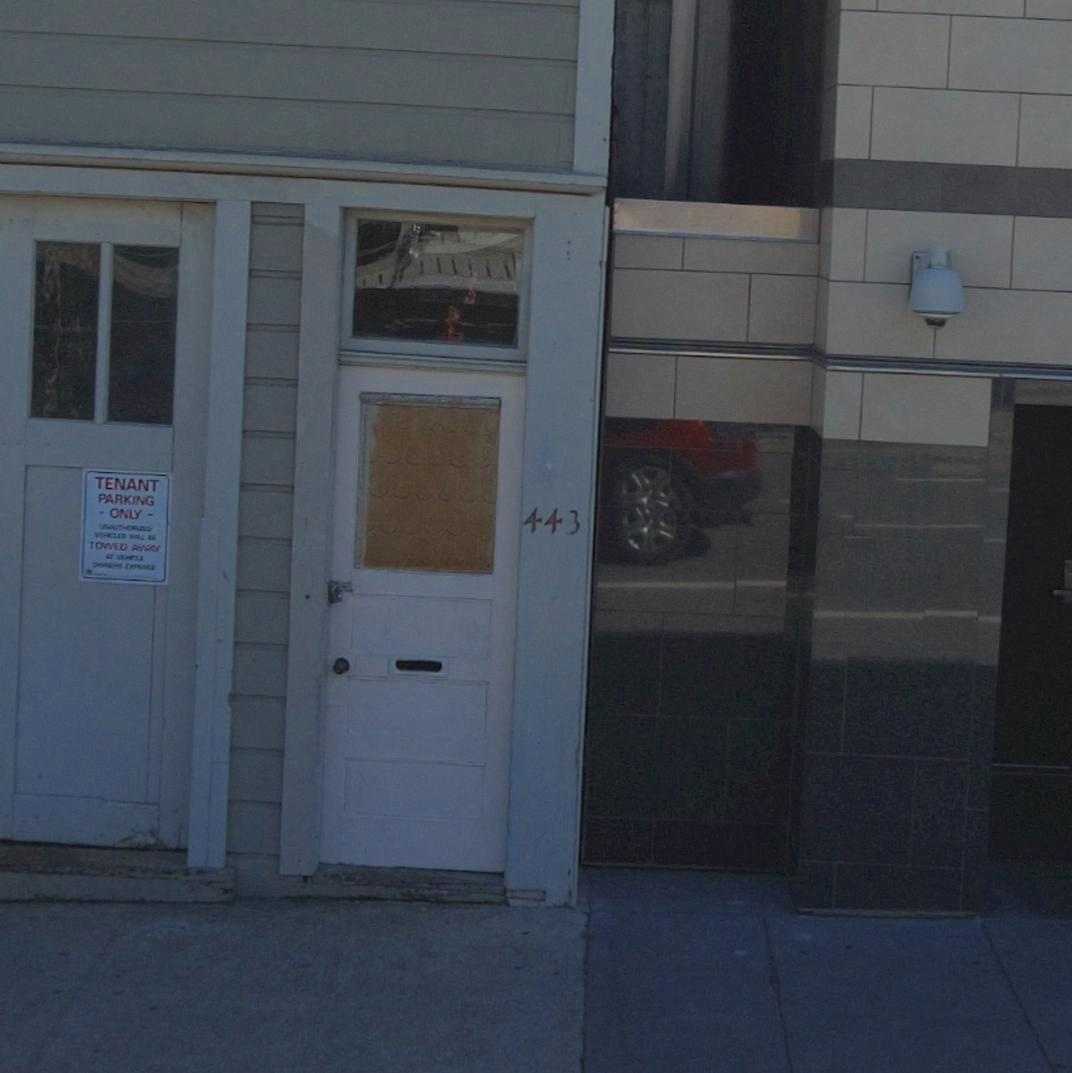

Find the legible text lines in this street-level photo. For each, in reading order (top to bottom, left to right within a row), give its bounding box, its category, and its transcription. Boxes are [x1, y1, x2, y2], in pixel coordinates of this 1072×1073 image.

[90, 470, 166, 497] None: TENANT
[94, 489, 159, 511] None: PARKING
[105, 504, 147, 524] None: ONLY
[519, 500, 584, 538] StreetNumber: 443
[86, 539, 165, 555] None: TOWED AWAY